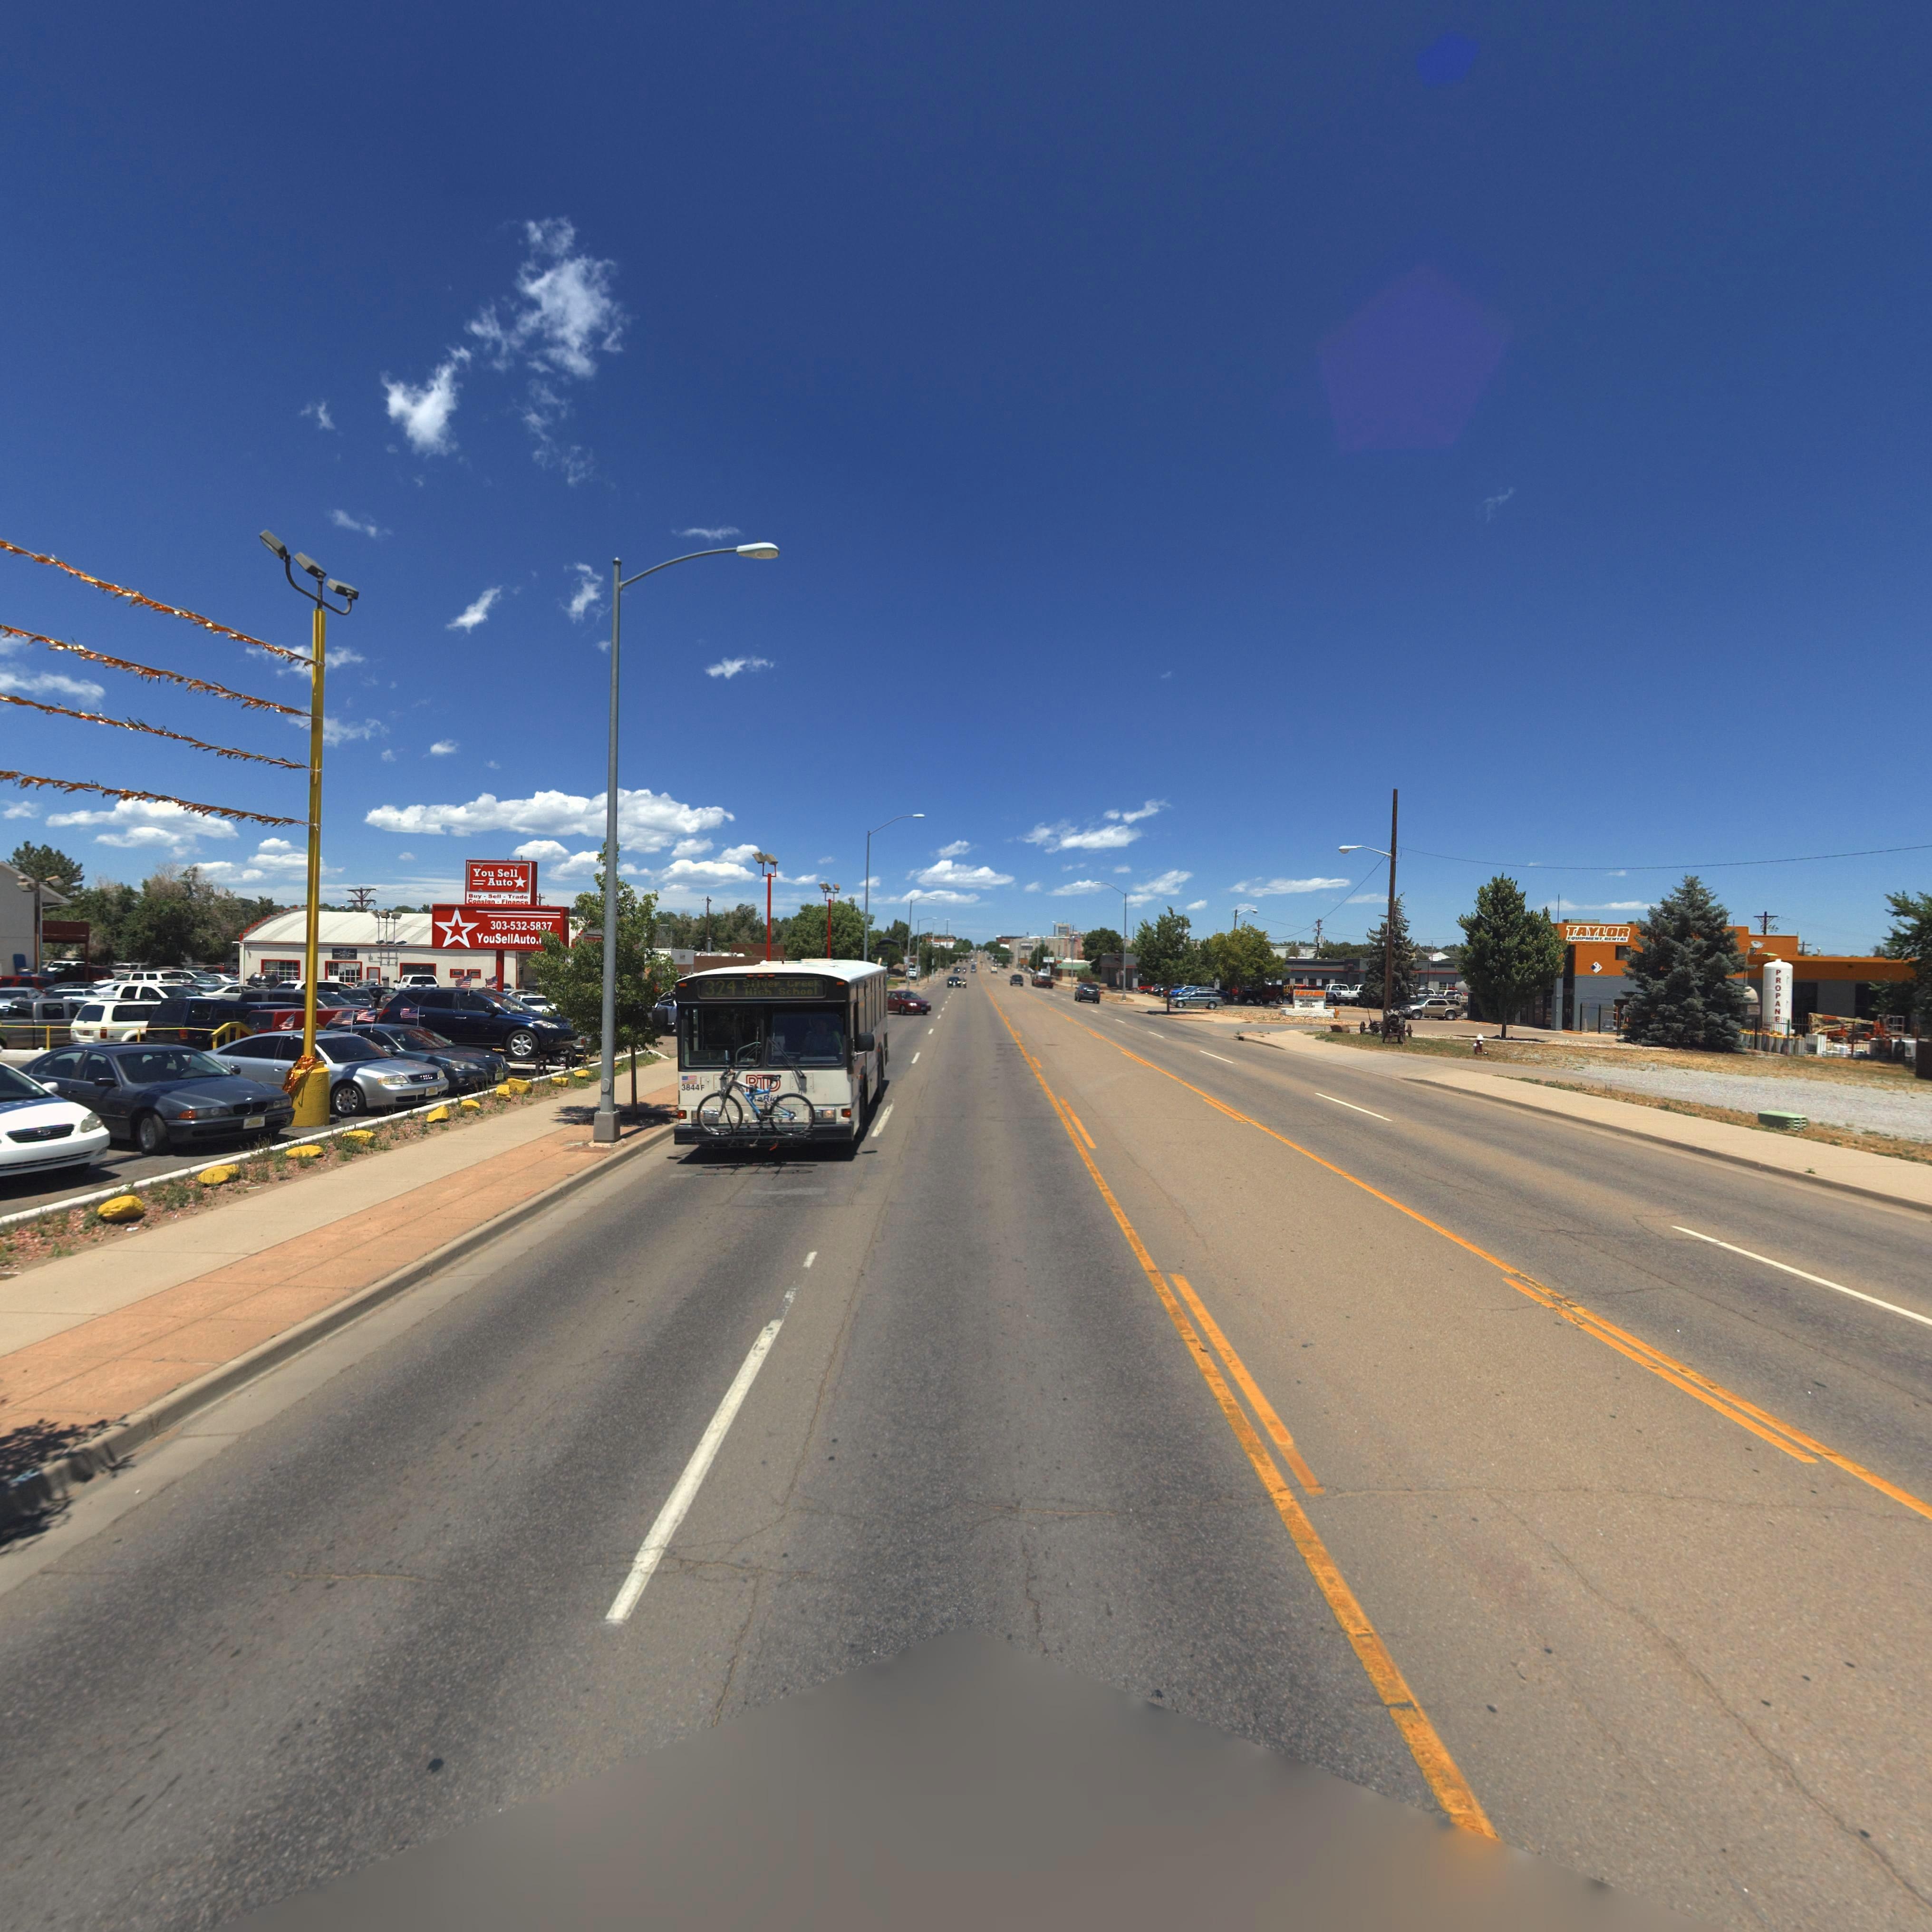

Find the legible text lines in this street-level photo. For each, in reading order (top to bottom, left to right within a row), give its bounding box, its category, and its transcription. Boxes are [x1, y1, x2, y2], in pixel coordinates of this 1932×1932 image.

[472, 867, 518, 878] BusinessName: You Sell
[486, 878, 513, 886] BusinessName: Auto
[1566, 925, 1629, 937] BusinessName: TAYLOR
[1294, 990, 1325, 996] BusinessName: TAYLOR